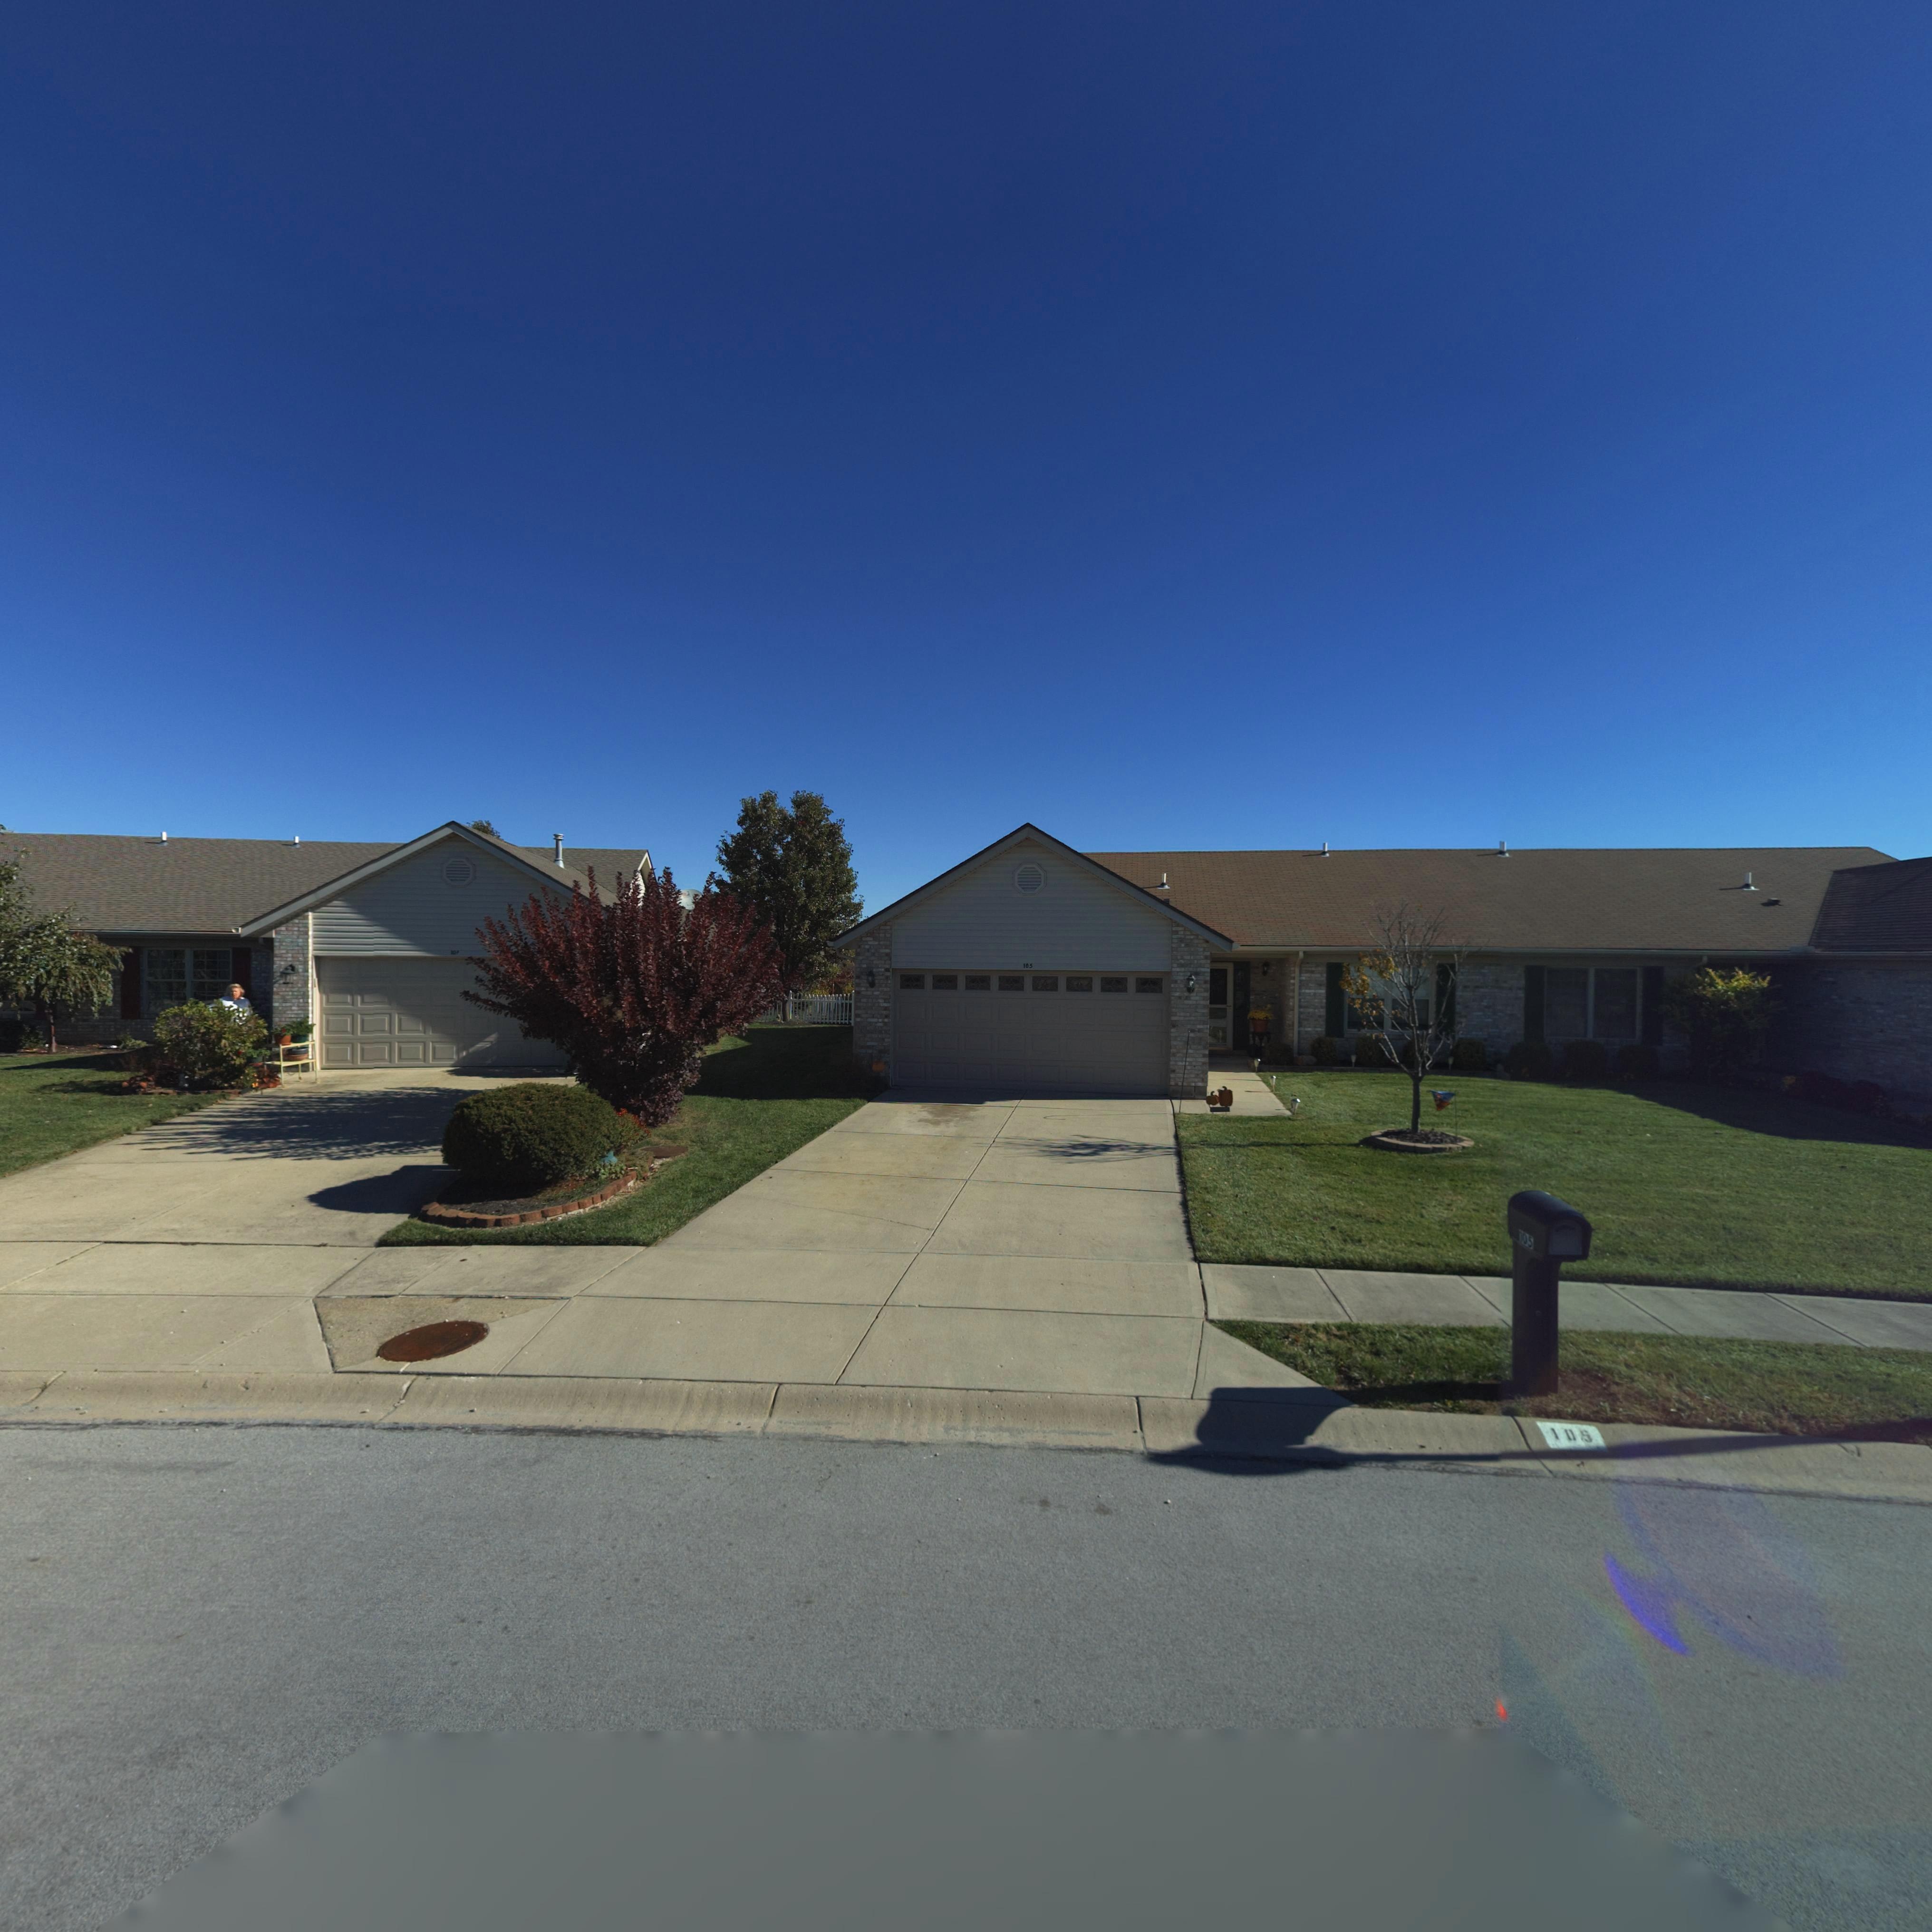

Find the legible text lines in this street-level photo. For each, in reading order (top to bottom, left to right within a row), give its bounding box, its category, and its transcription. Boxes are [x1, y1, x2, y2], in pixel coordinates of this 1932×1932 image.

[450, 949, 460, 955] StreetNumber: 107
[1023, 963, 1034, 969] StreetNumber: 105
[1518, 1229, 1535, 1250] StreetNumber: 105
[1550, 1427, 1595, 1444] StreetNumber: 105